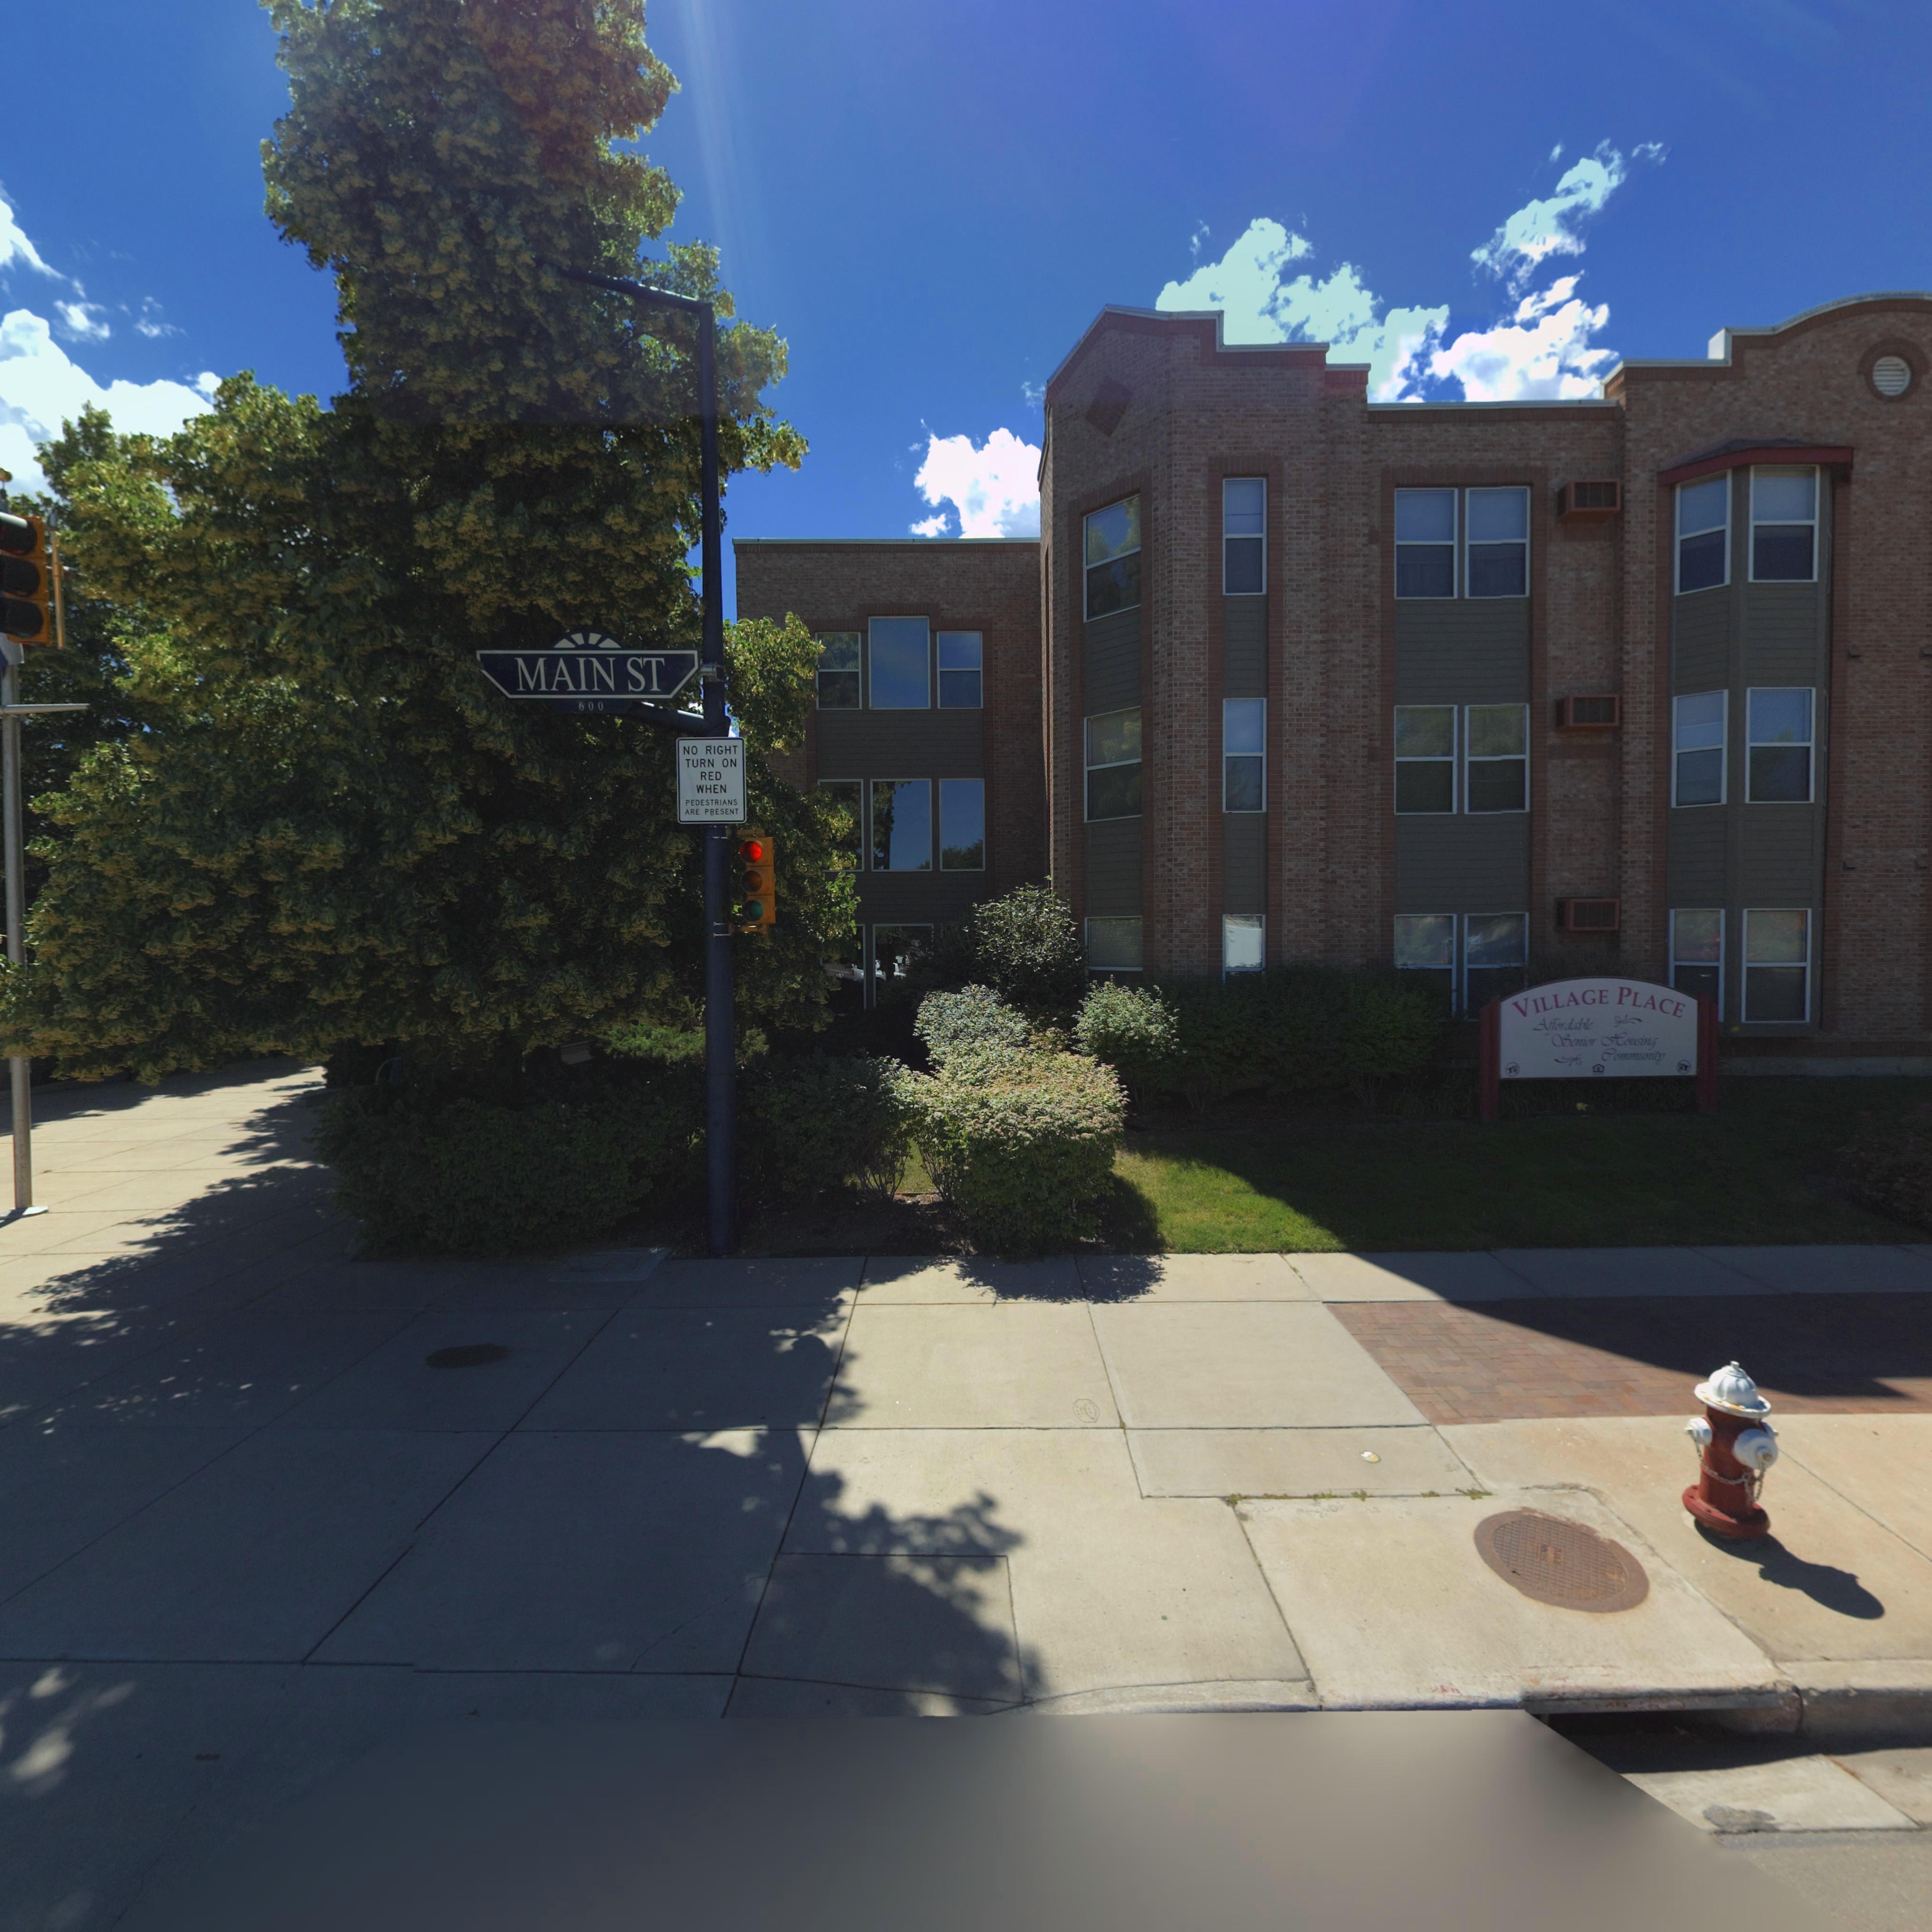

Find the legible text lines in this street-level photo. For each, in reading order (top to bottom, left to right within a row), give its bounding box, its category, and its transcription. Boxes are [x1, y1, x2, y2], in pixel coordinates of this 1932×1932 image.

[514, 657, 666, 691] StreetName: MAIN ST
[579, 701, 603, 711] StreetNumberRange: 600
[1511, 985, 1686, 1019] BusinessName: VILLAGE PLACE